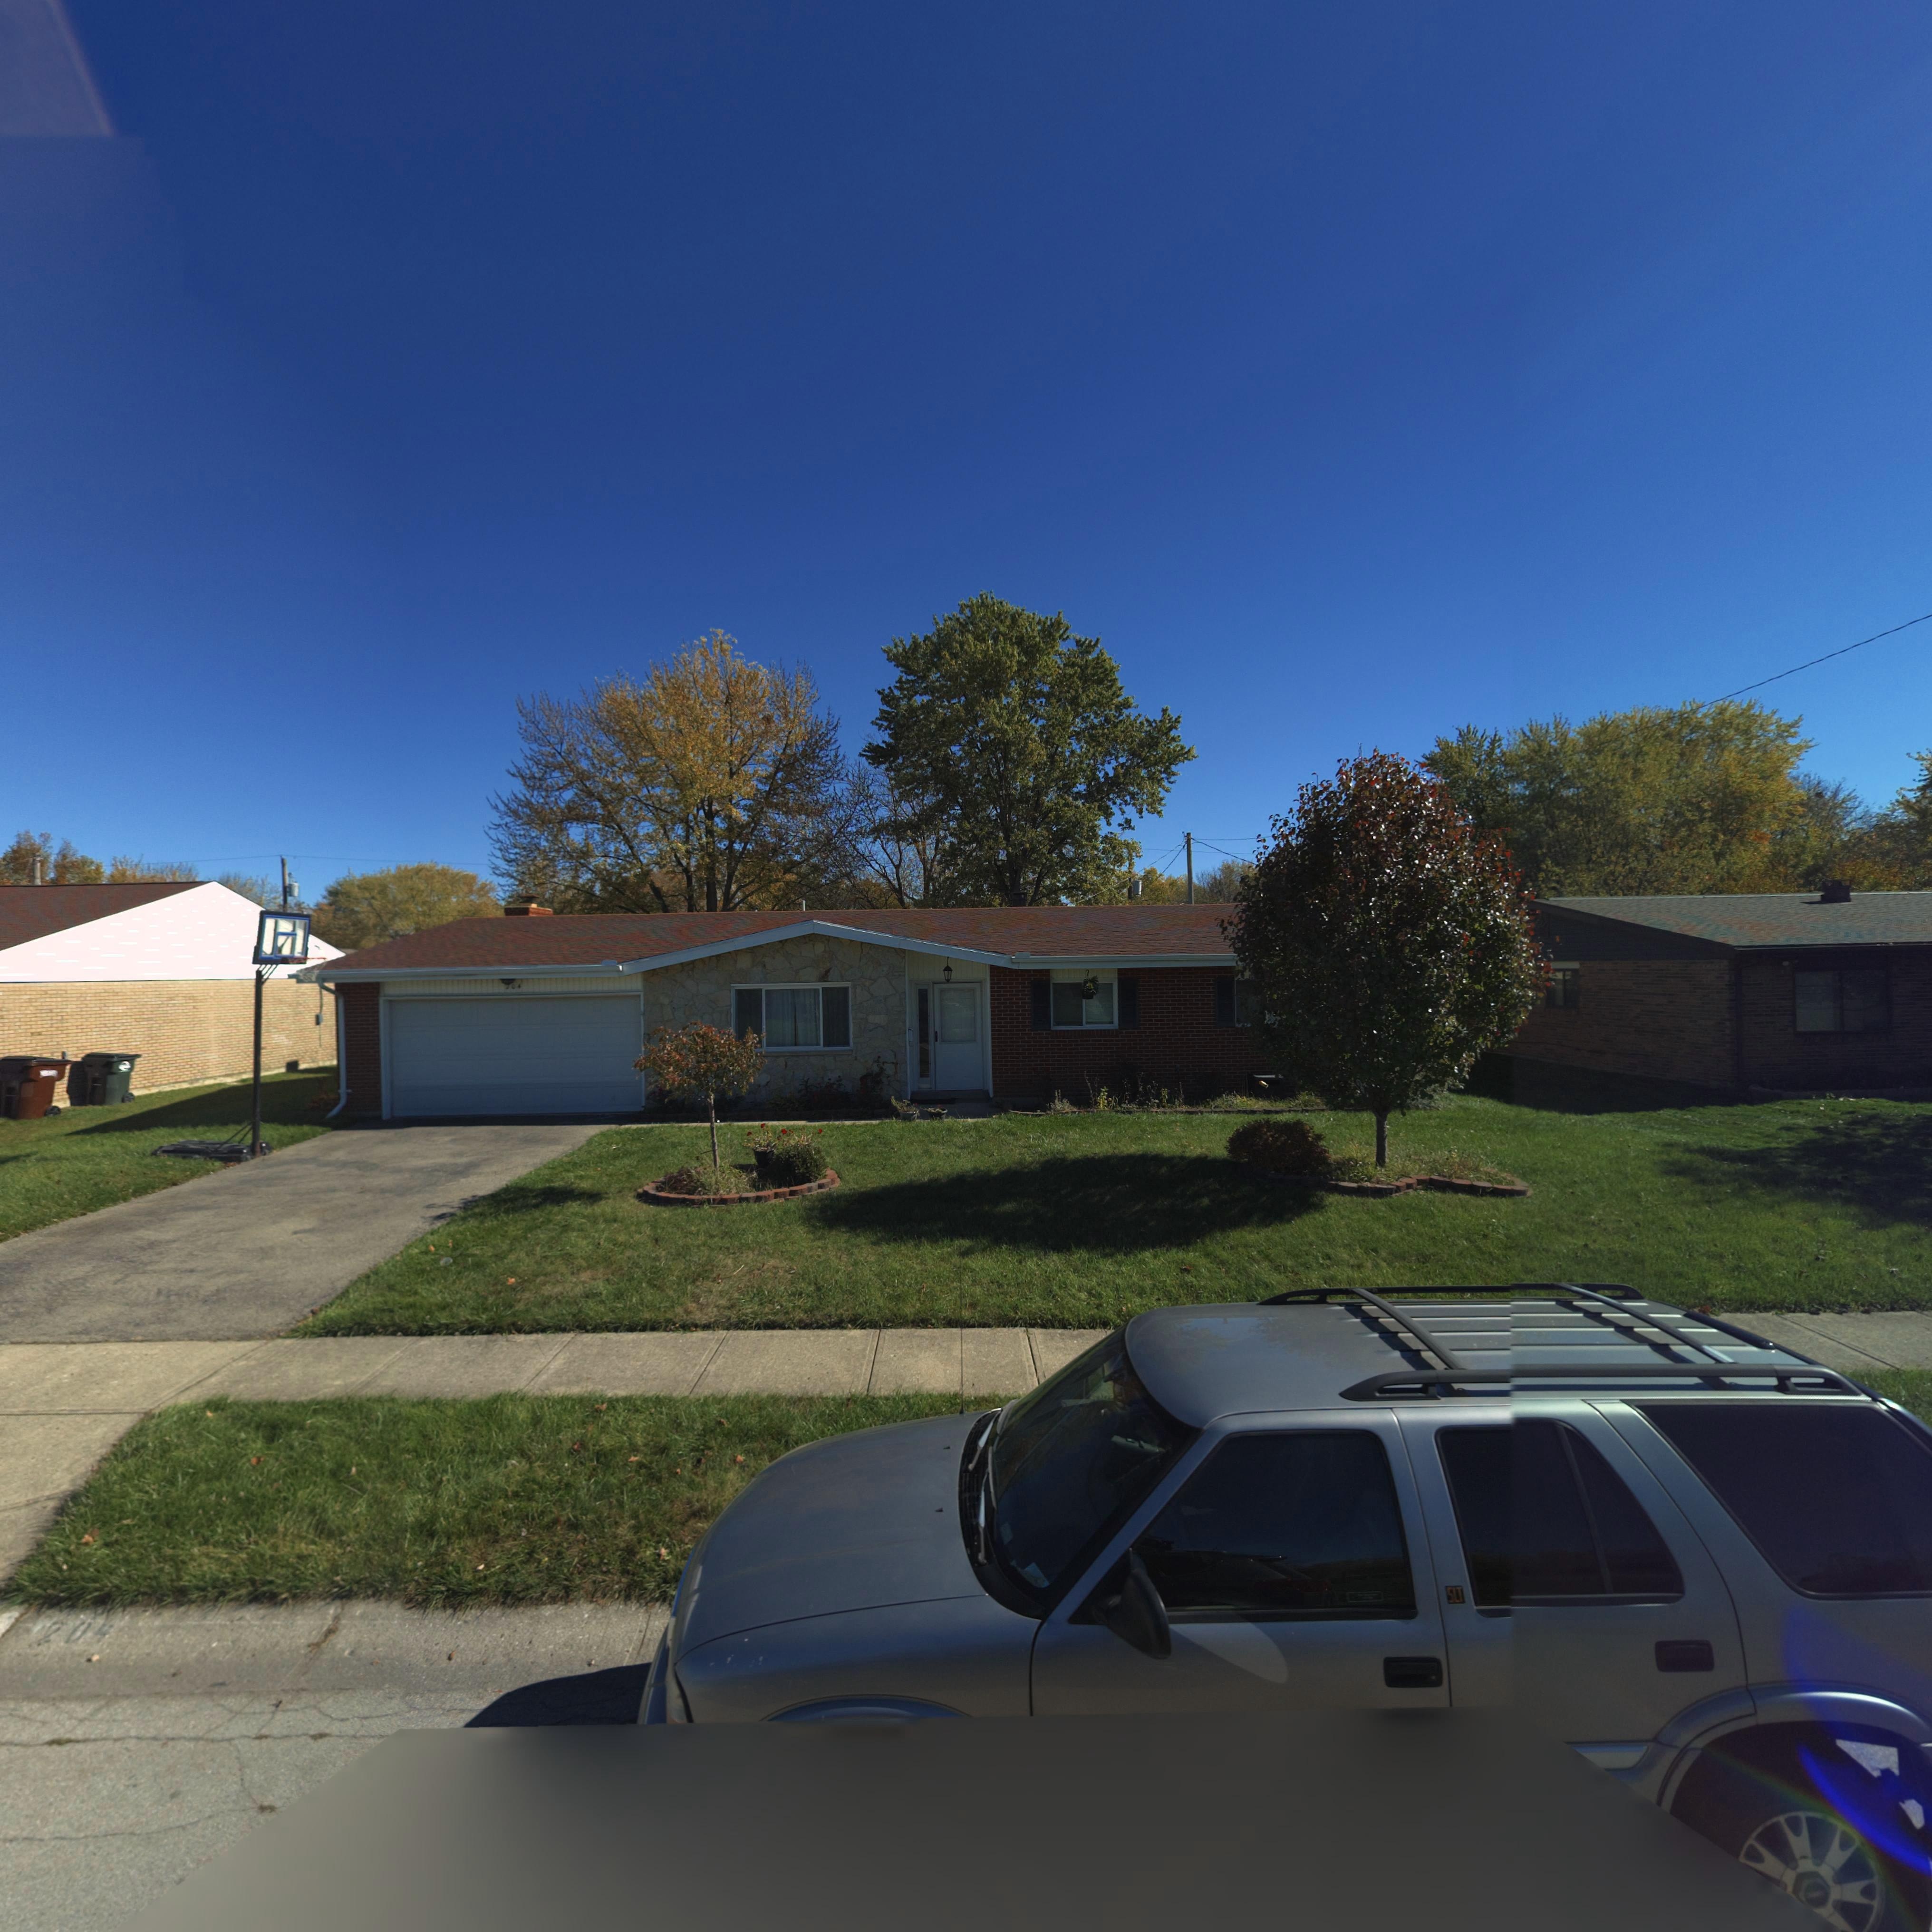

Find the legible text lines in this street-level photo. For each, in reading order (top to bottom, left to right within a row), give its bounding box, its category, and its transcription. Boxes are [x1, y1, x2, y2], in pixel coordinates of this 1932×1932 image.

[505, 983, 522, 989] StreetNumber: 204
[30, 1618, 118, 1647] StreetNumber: 204